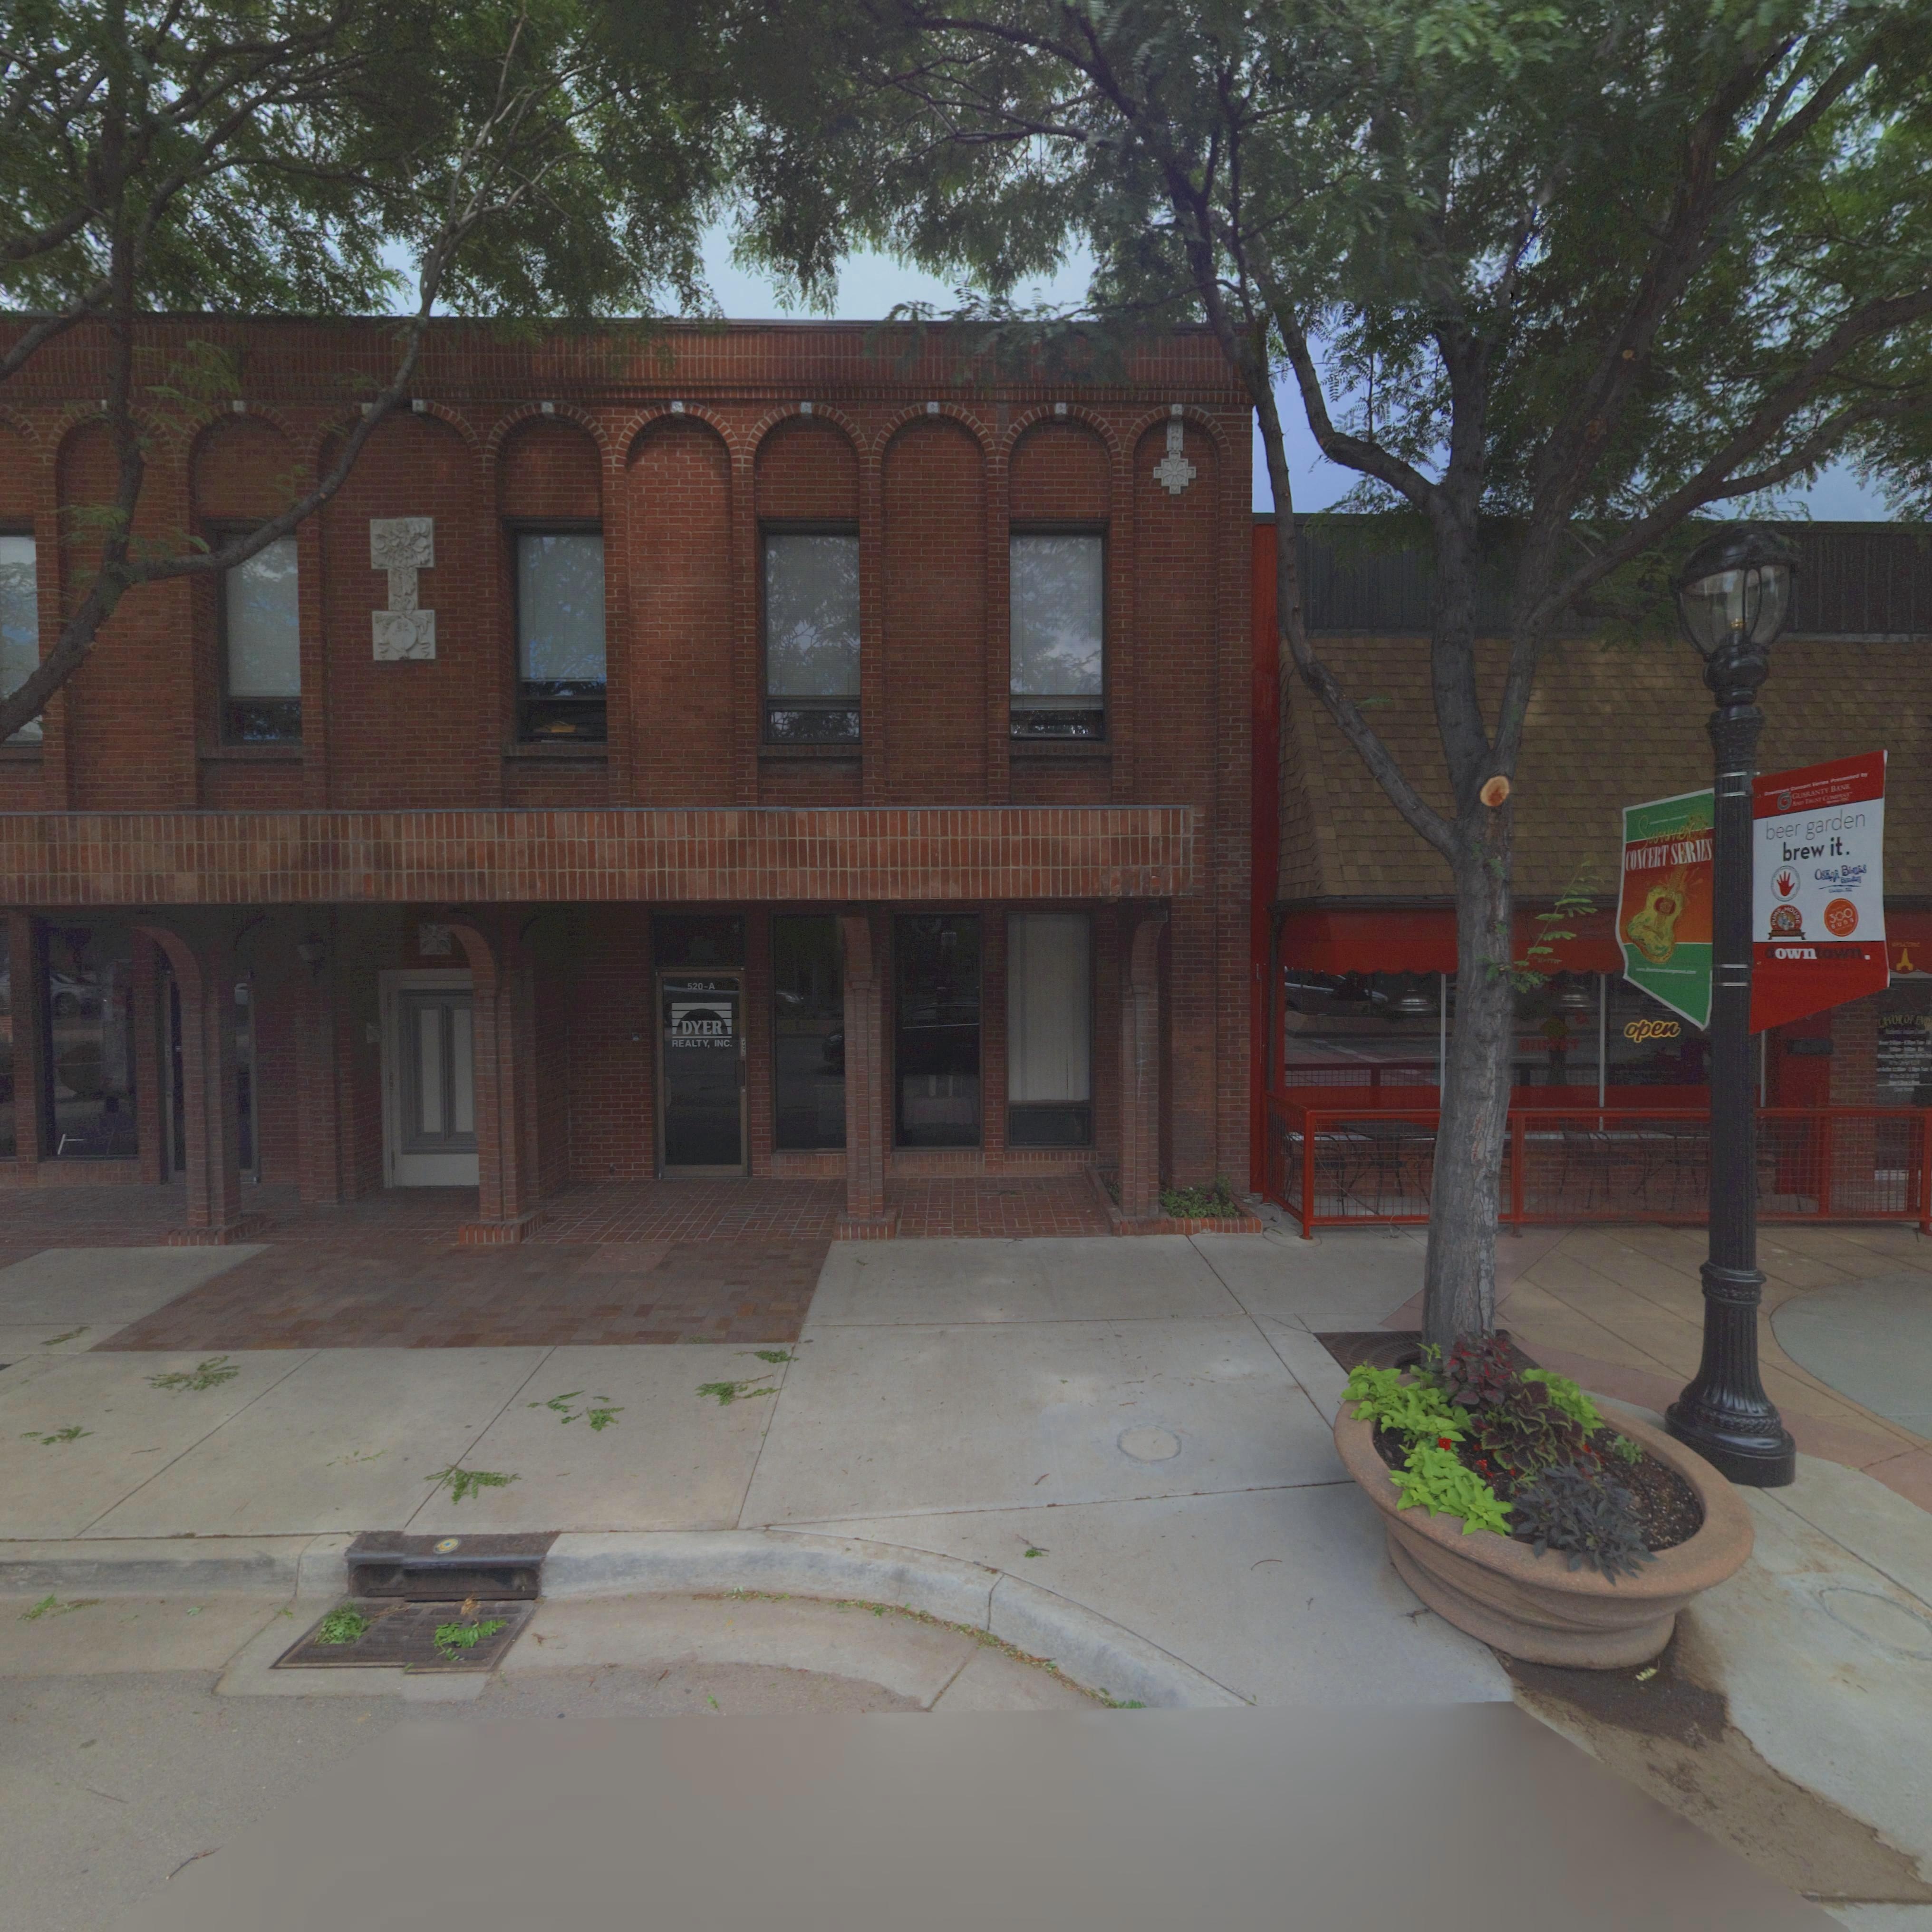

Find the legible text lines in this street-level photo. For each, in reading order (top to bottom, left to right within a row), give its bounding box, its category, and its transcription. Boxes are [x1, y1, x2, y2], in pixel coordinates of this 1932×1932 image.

[686, 982, 715, 990] StreetNumber: 520-A
[681, 1020, 723, 1034] BusinessName: DYER
[1878, 1012, 1921, 1028] BusinessName: LAVOR OF I
[672, 1039, 730, 1047] BusinessName: REALTY, INC